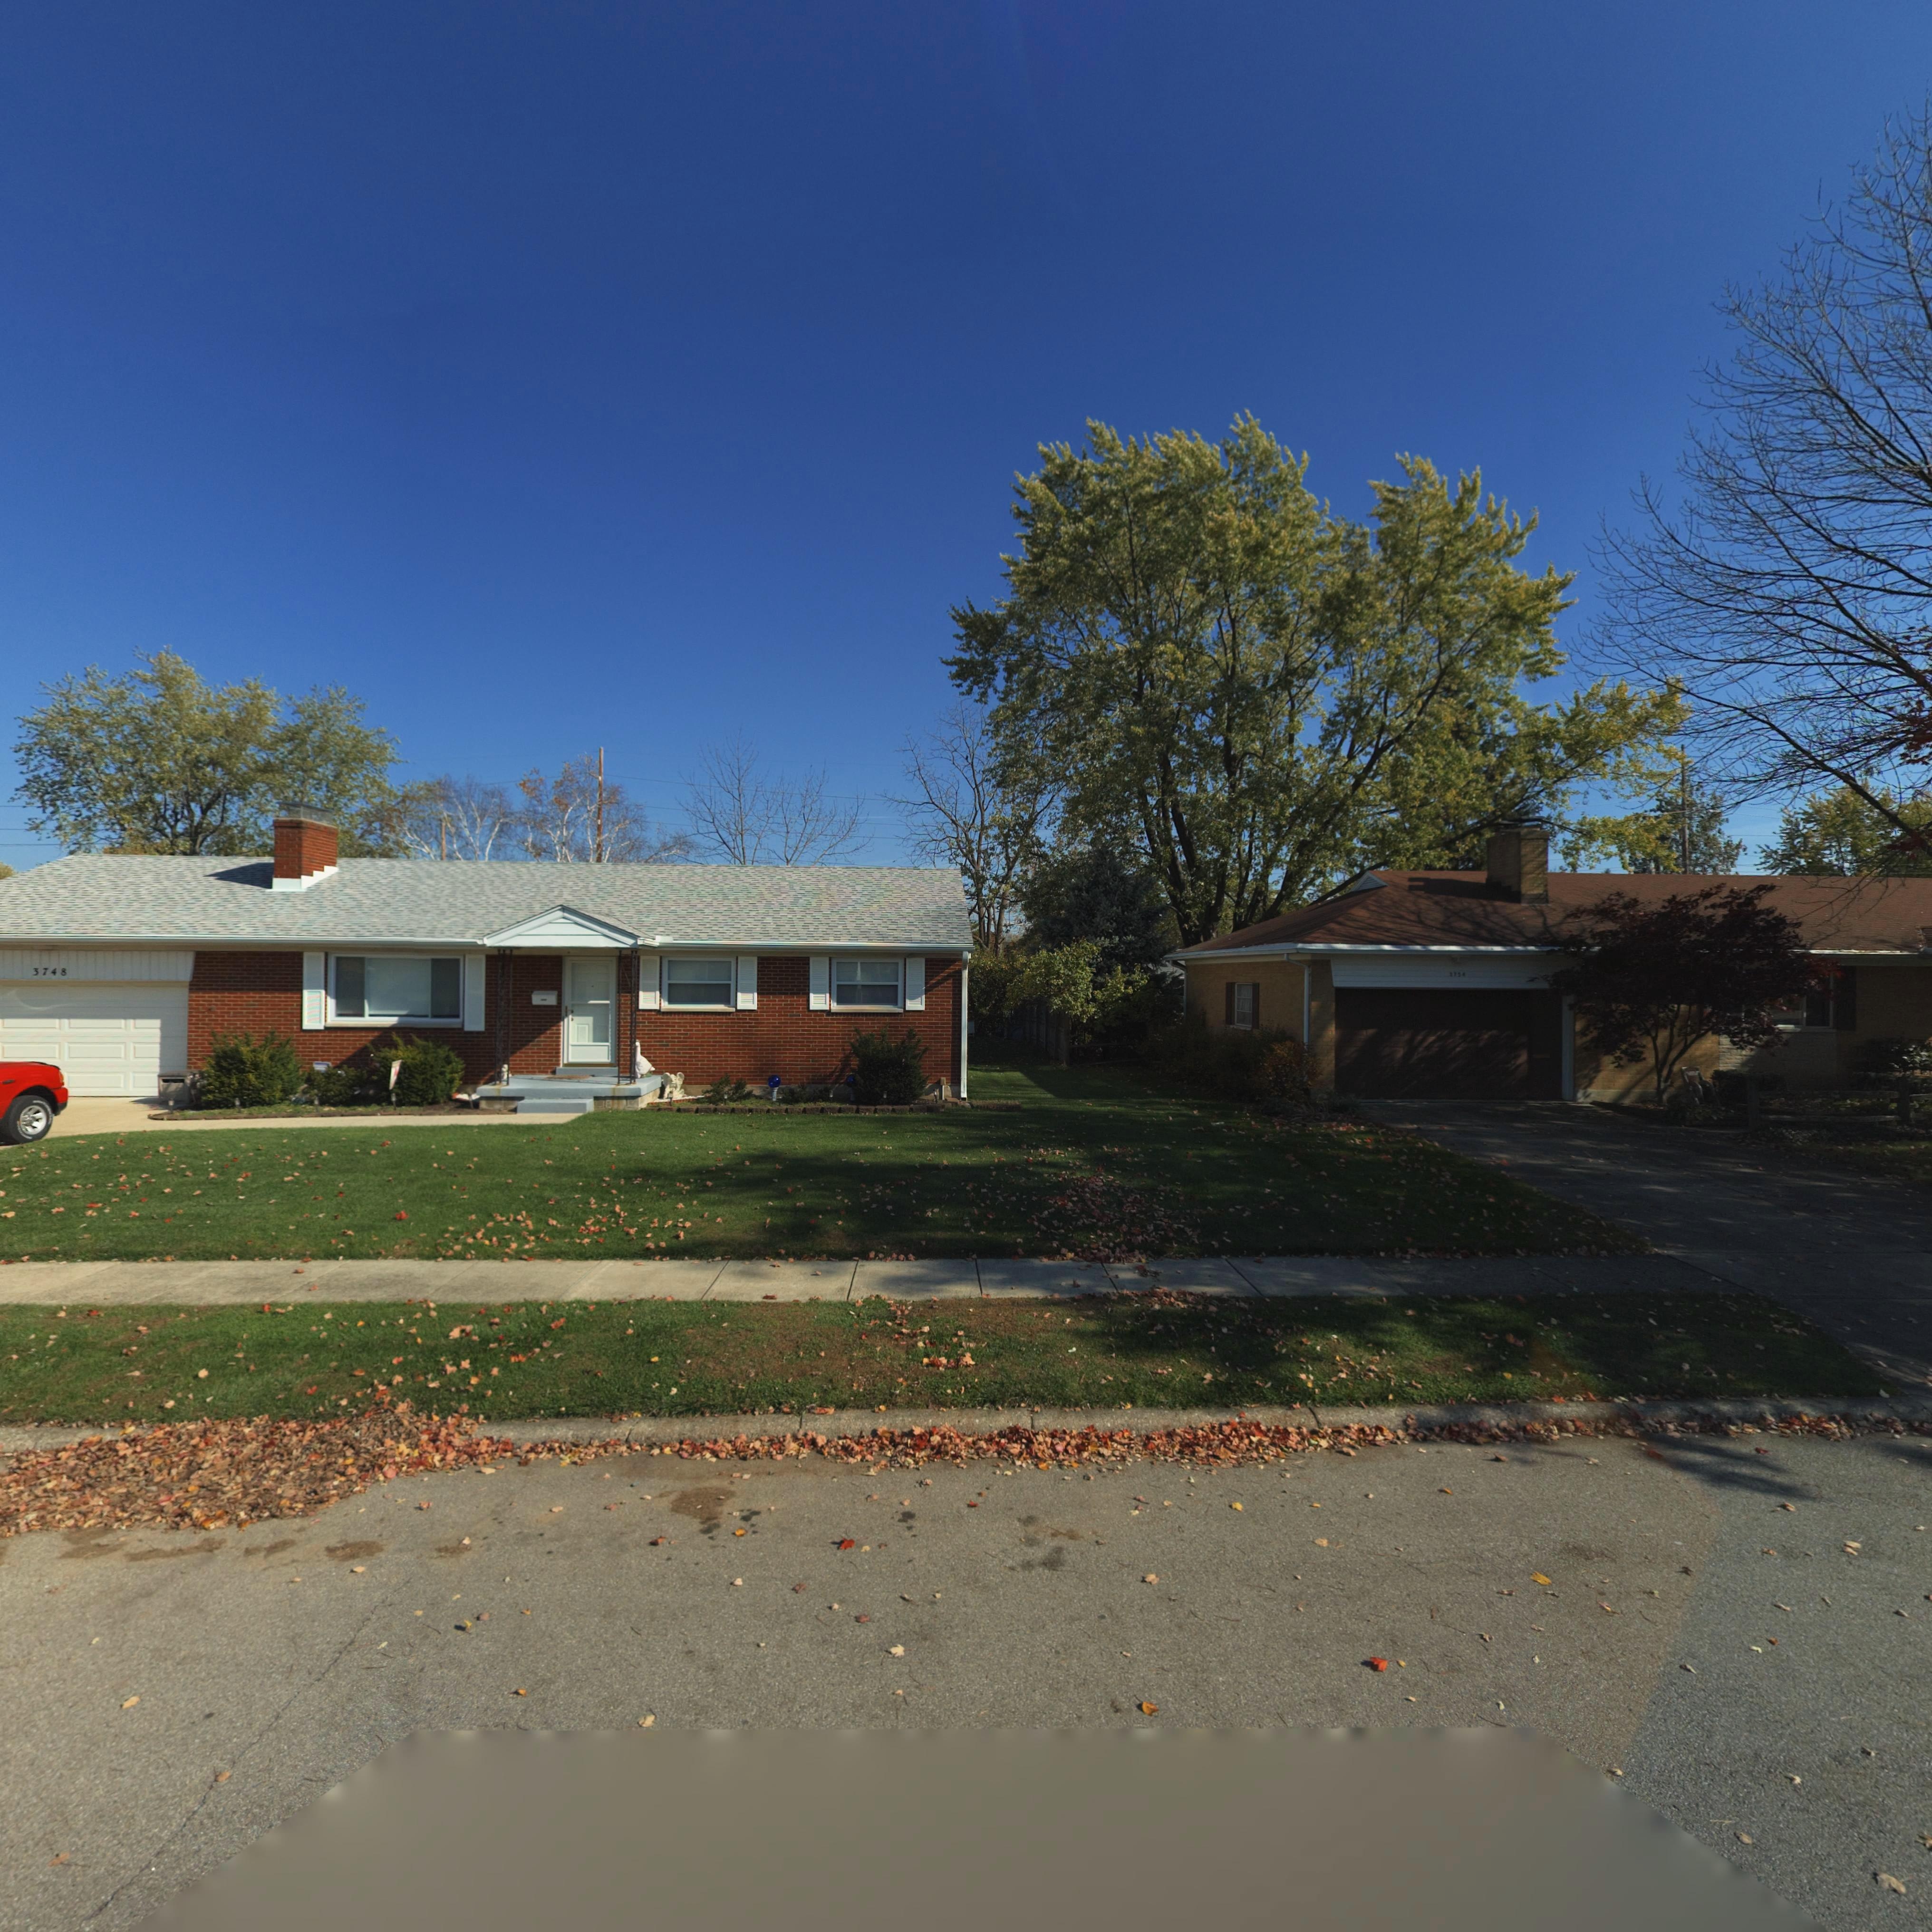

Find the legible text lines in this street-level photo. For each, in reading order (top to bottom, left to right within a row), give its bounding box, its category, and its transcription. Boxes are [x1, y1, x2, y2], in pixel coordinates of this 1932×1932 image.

[31, 966, 68, 977] StreetNumber: 3748
[1448, 970, 1467, 978] StreetNumber: **5*